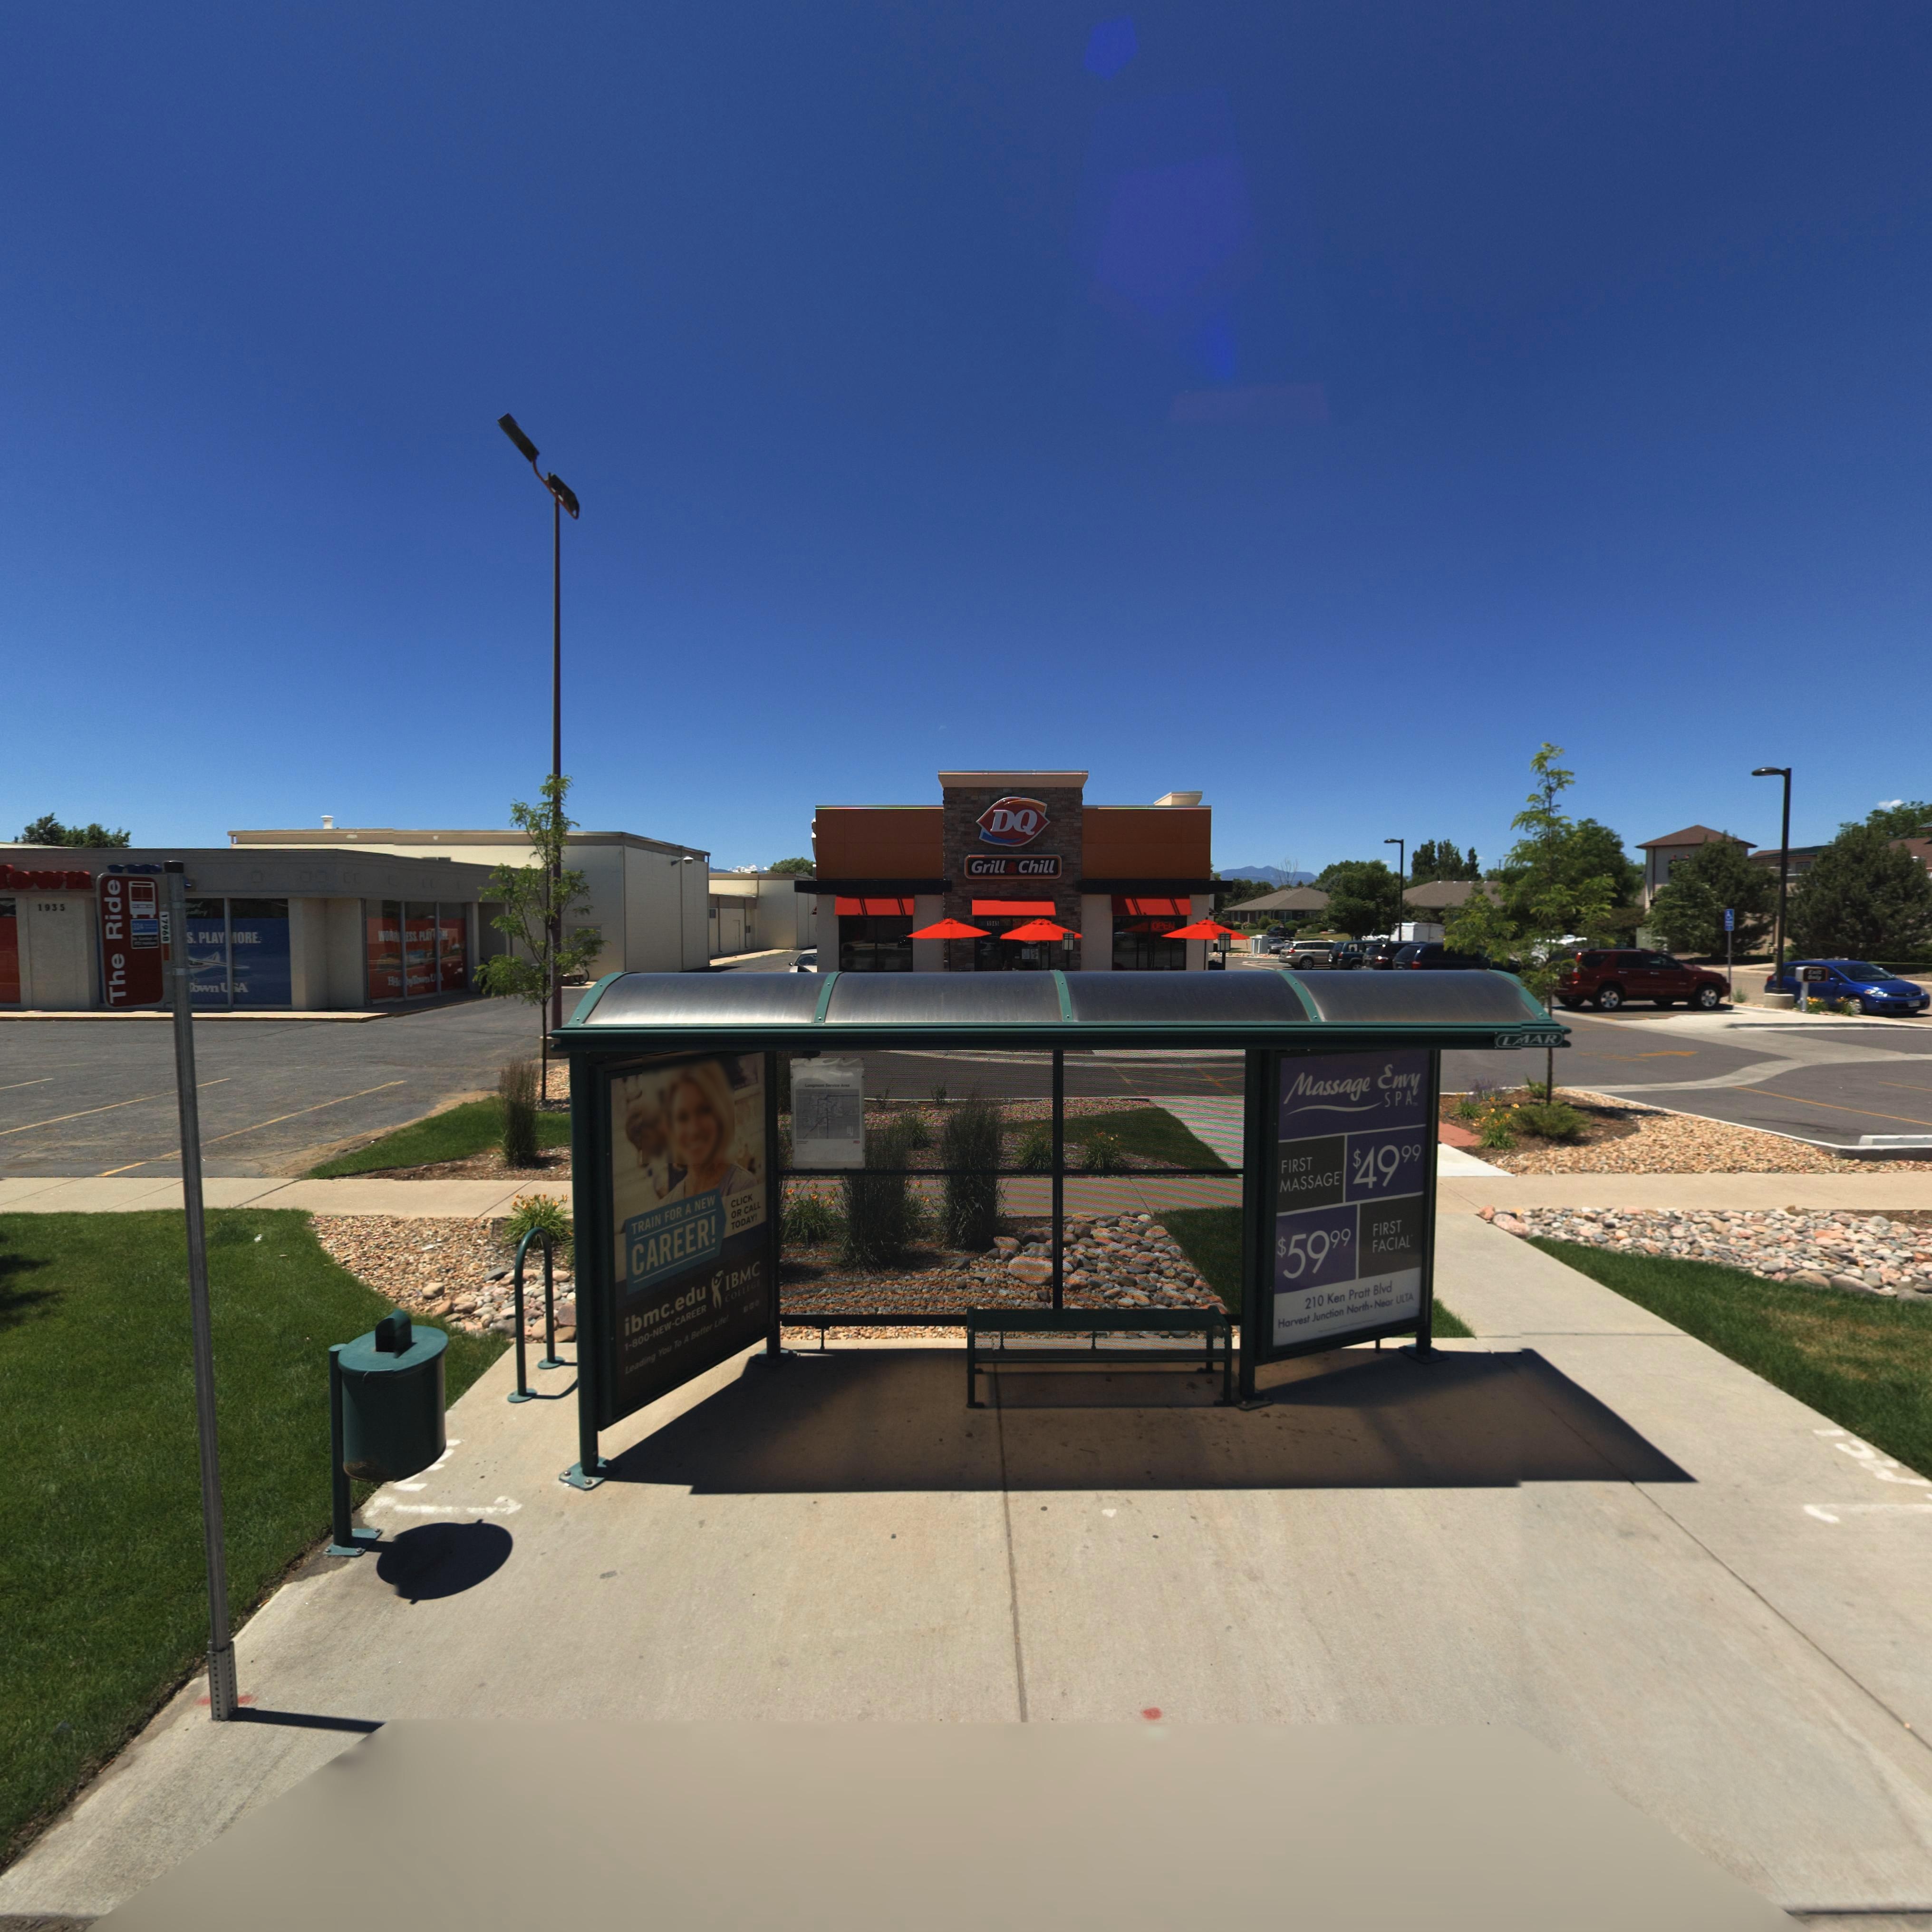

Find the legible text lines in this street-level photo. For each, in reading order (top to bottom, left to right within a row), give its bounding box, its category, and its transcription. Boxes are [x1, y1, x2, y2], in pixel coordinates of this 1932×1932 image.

[989, 808, 1039, 836] BusinessName: dq
[971, 858, 1056, 875] BusinessName: Grill&Chill
[38, 904, 65, 911] StreetNumber: 1935
[386, 971, 446, 987] BusinessName: Ho*byTownU*A
[1327, 1279, 1393, 1305] StreetName: Ken Pratt Blvd
[1304, 1294, 1325, 1310] StreetNumber: 210